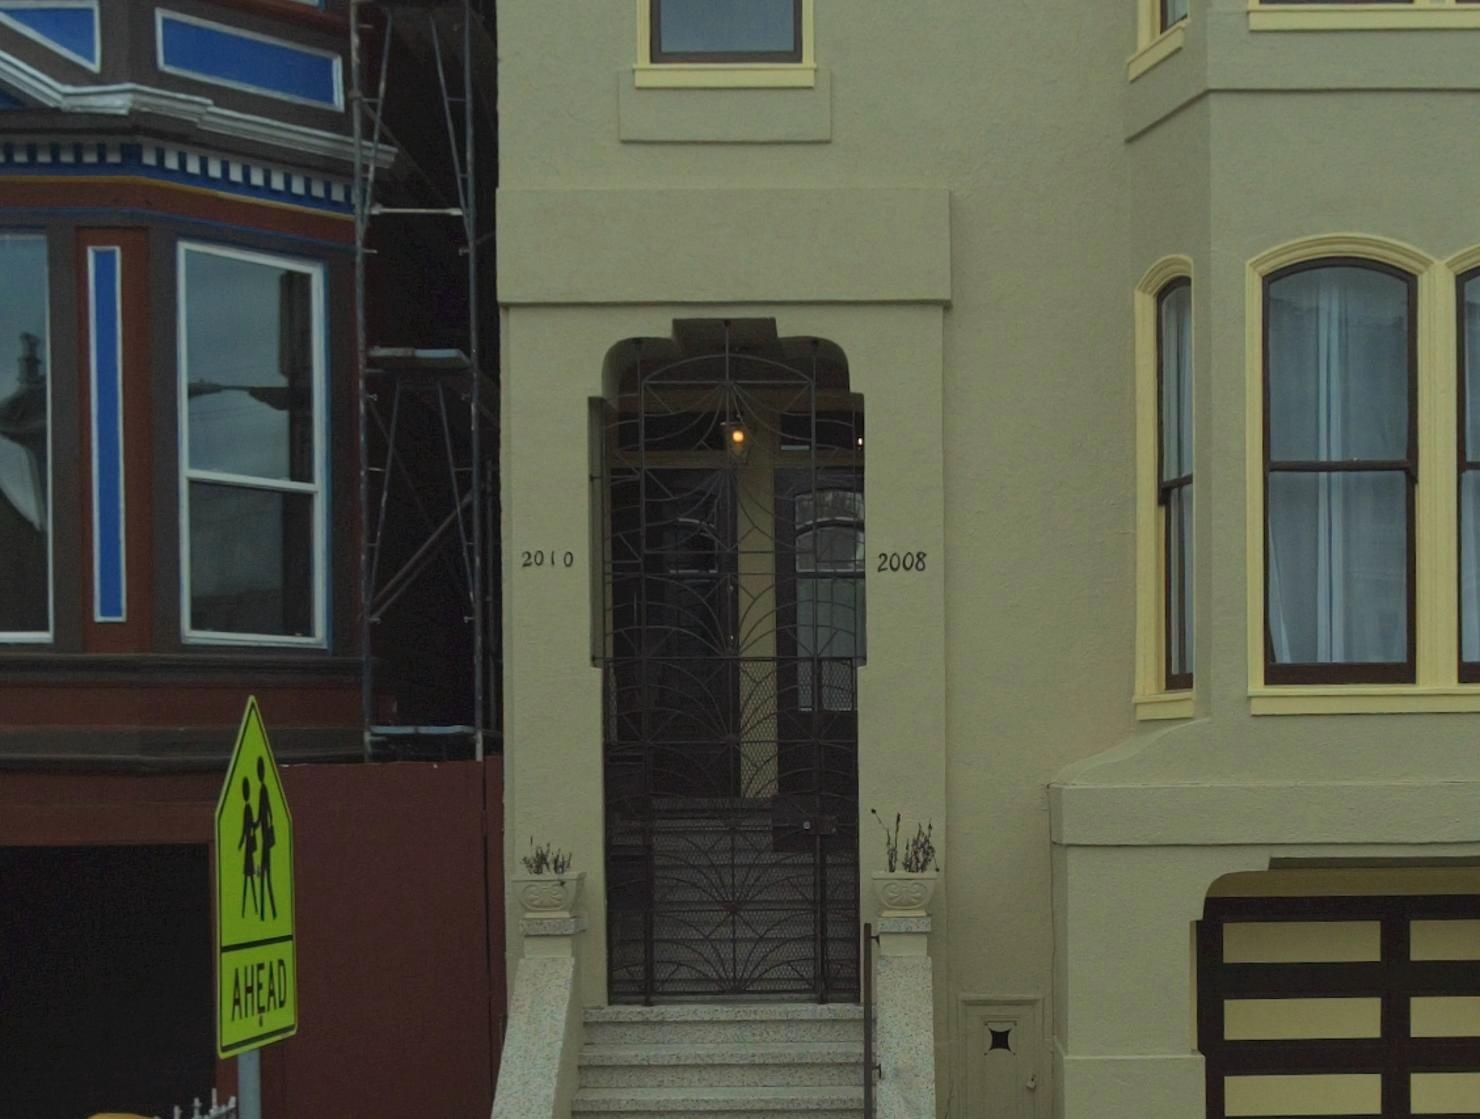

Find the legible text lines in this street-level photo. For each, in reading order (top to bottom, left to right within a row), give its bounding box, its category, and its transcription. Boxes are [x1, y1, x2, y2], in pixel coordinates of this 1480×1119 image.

[519, 547, 575, 570] StreetNumber: 2010
[875, 548, 929, 575] StreetNumber: 2008
[229, 956, 290, 1025] None: AHEAD